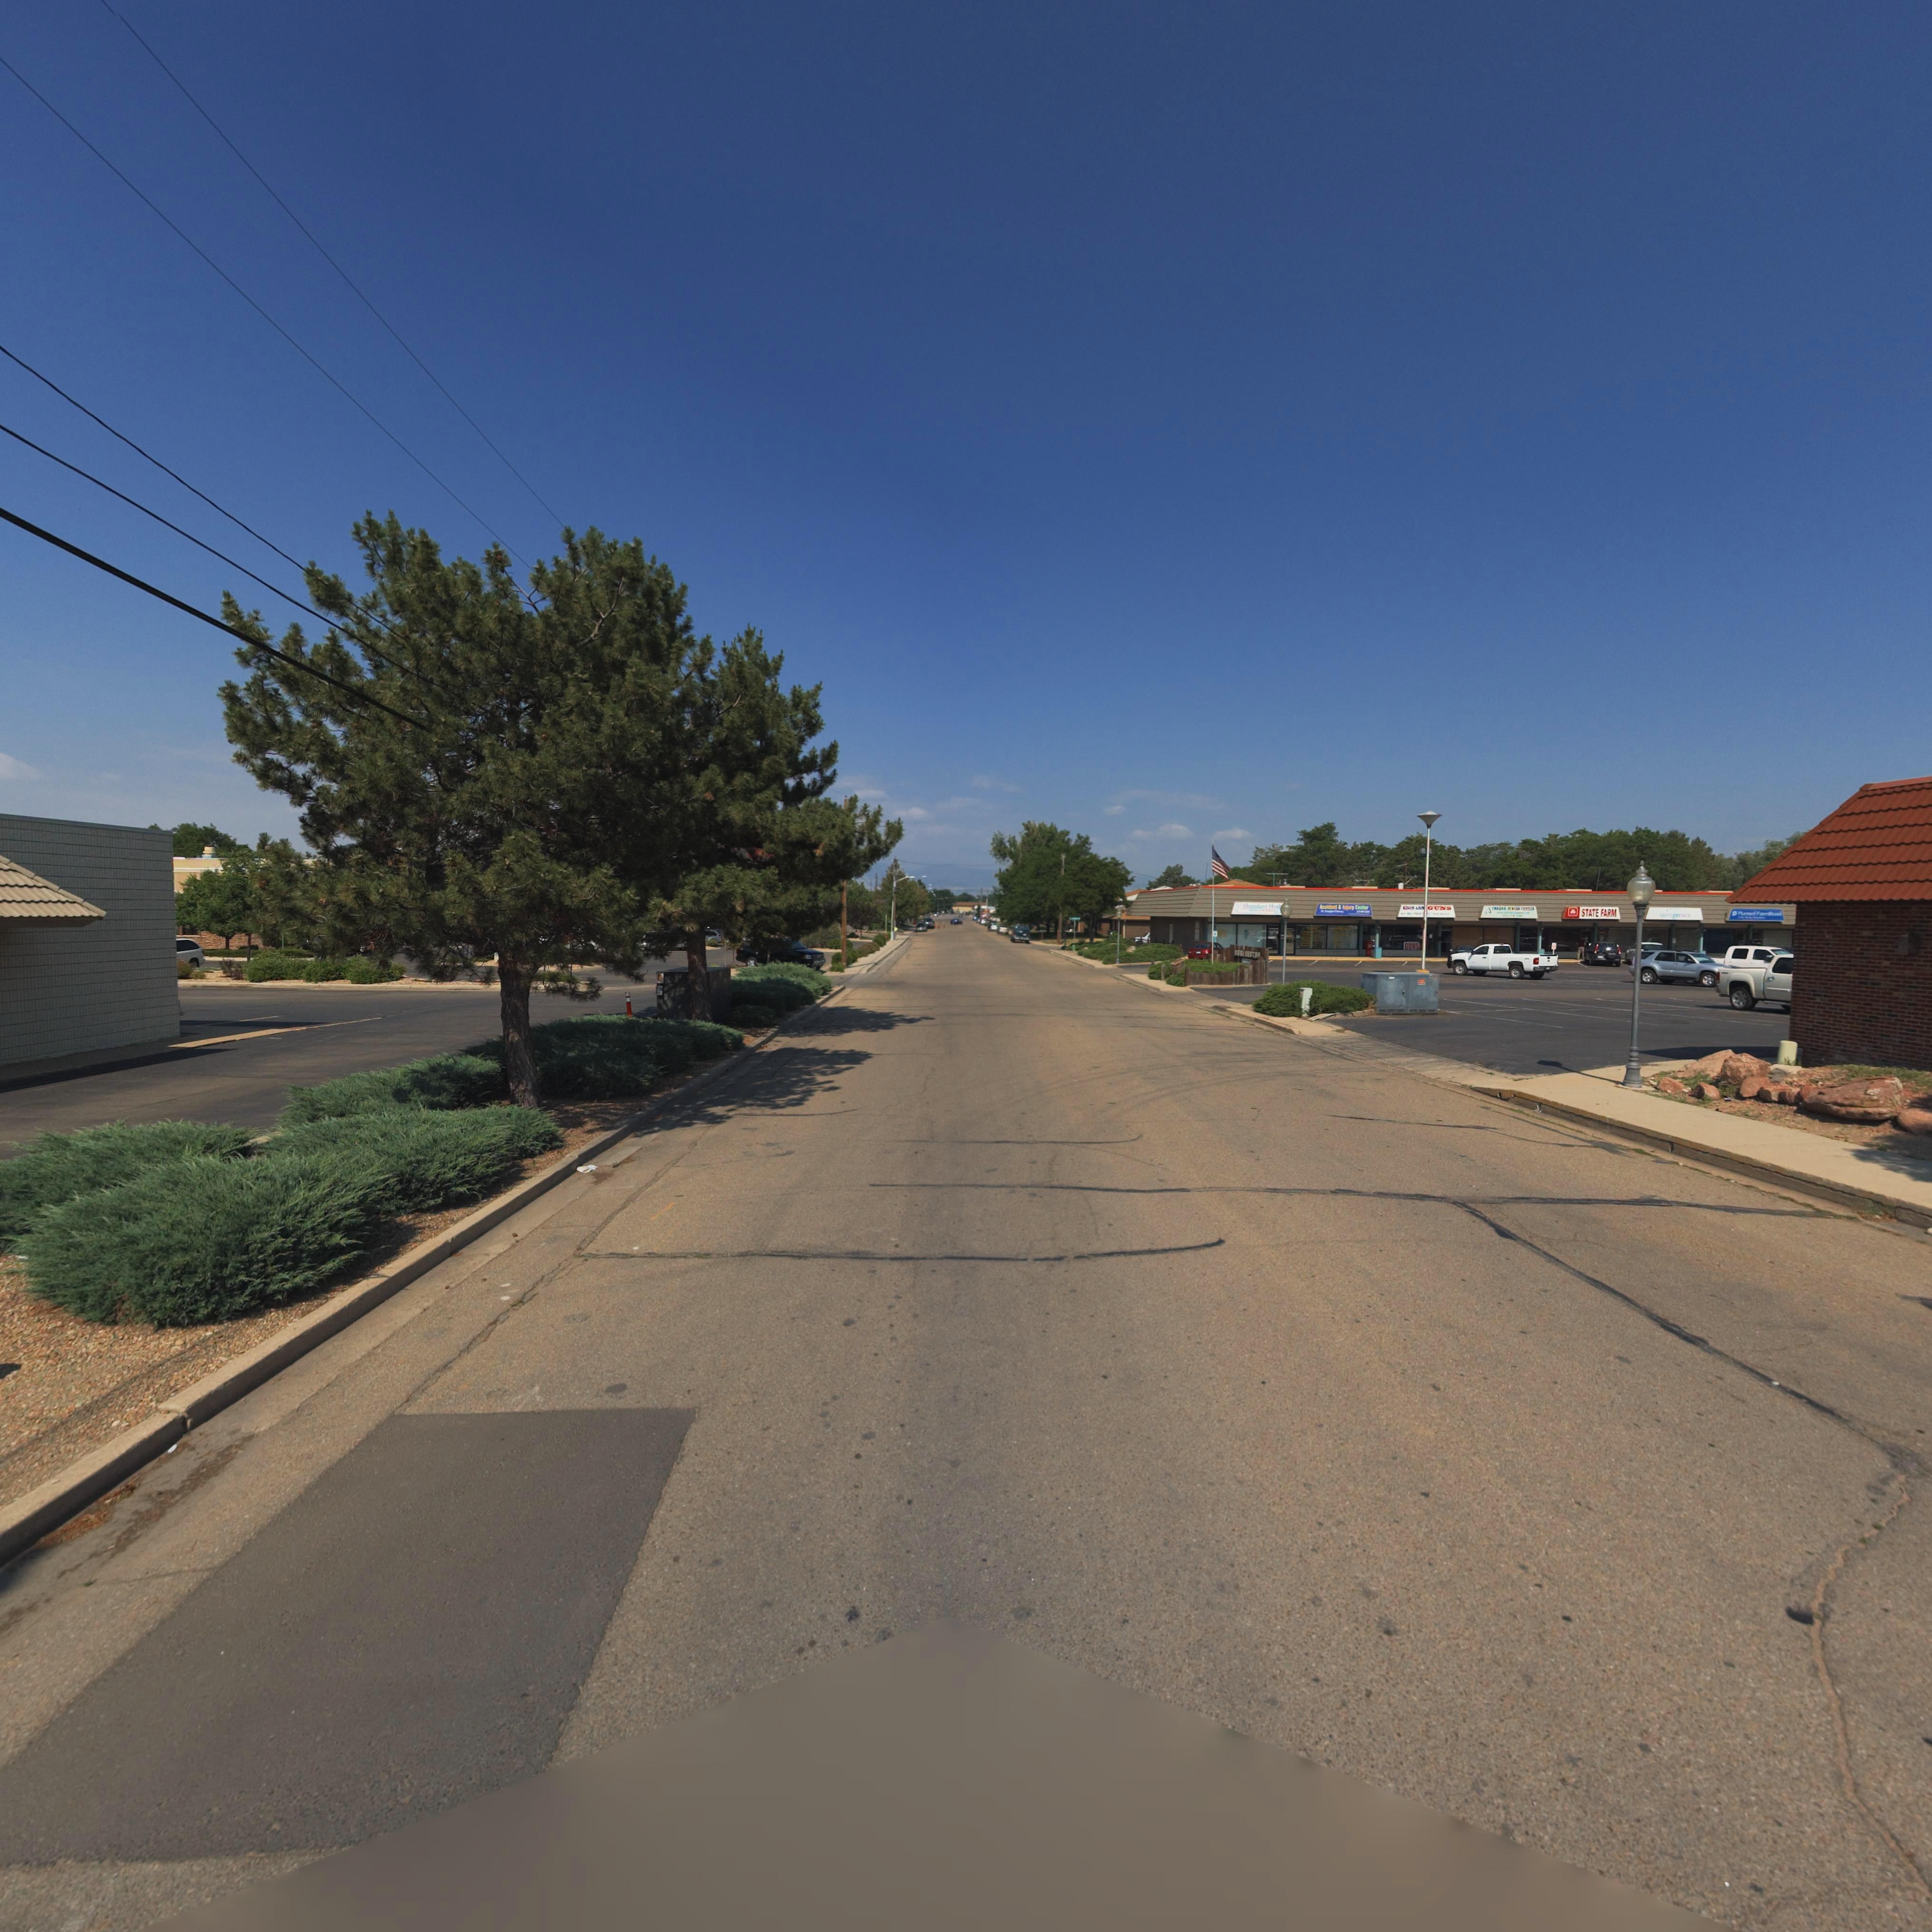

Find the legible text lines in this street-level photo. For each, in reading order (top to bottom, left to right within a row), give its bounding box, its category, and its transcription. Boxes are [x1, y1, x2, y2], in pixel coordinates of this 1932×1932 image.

[1242, 903, 1282, 908] BusinessName: Al****** H***
[1319, 904, 1369, 910] BusinessName: Accid**t * Injury C**t**
[1581, 908, 1617, 918] BusinessName: STATE FARM
[1737, 910, 1782, 917] BusinessName: P****e* P******oo*
[1404, 942, 1419, 949] BusinessName: Acci**** * *****y C*****